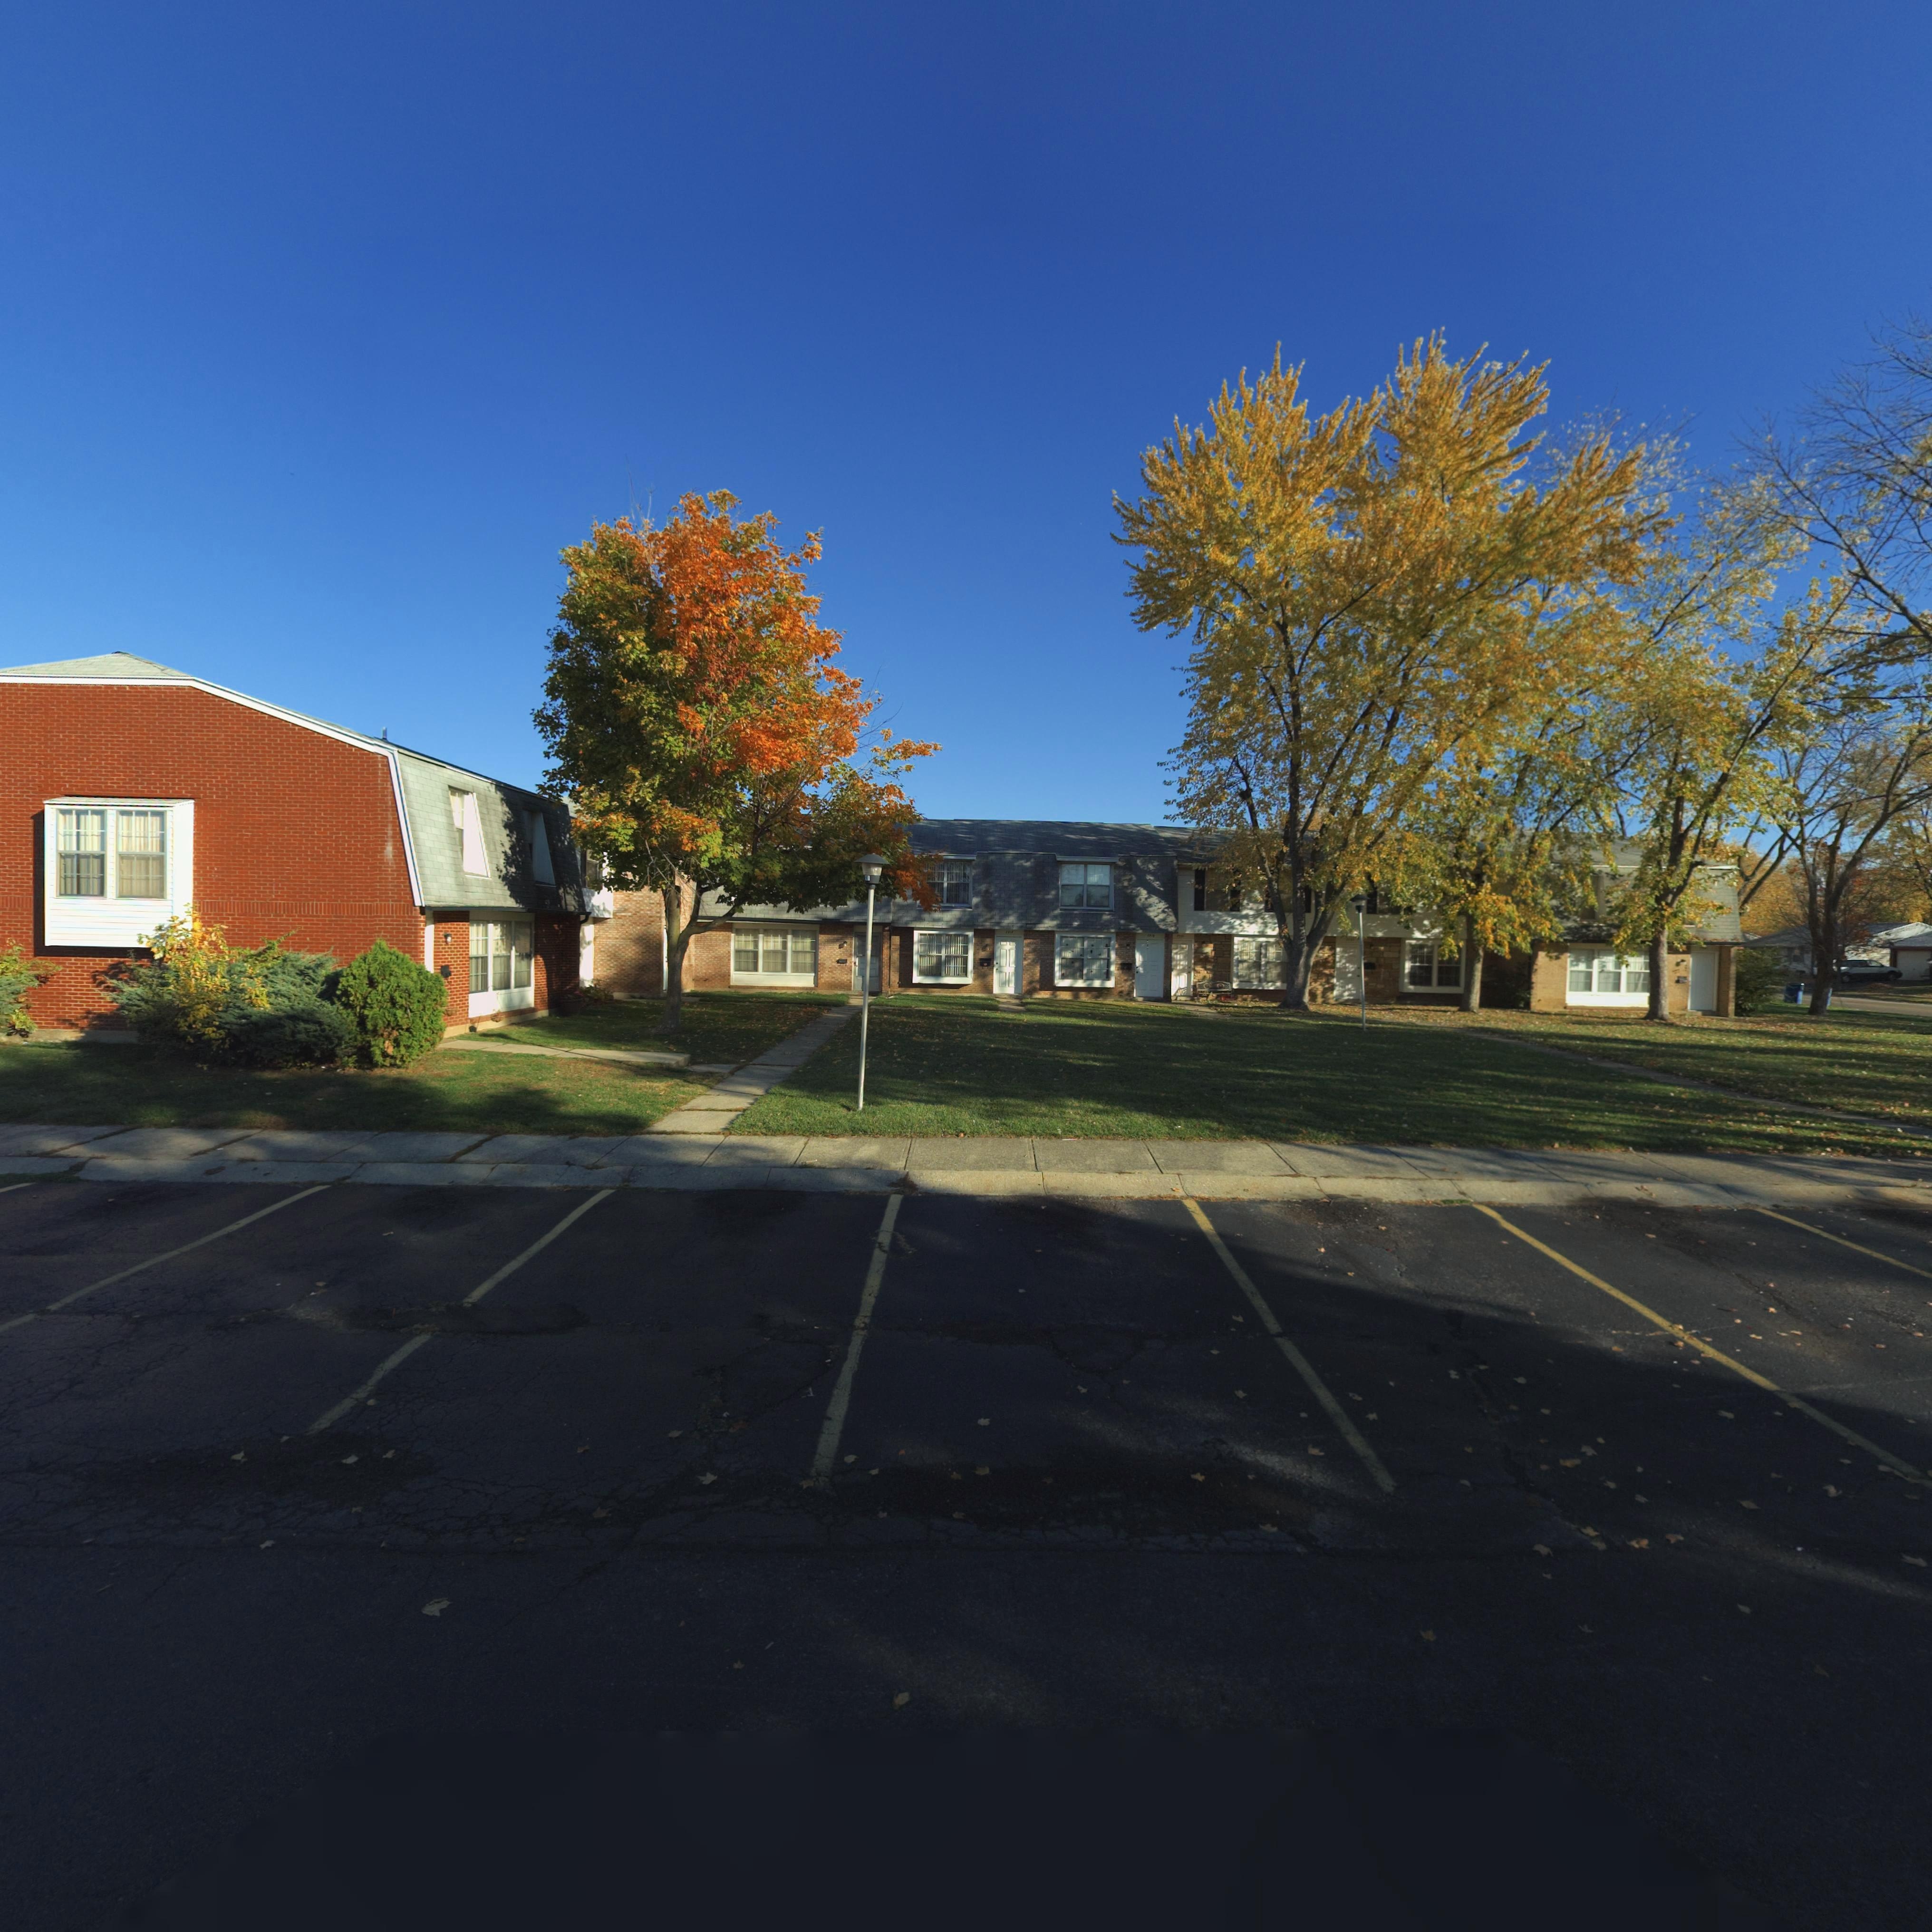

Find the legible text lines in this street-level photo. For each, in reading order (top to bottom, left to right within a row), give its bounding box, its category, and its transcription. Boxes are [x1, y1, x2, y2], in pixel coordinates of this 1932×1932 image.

[1005, 930, 1014, 934] StreetNumber: 7717
[1147, 933, 1155, 938] StreetNumber: ***9
[1176, 934, 1185, 938] StreetNumber: 77**